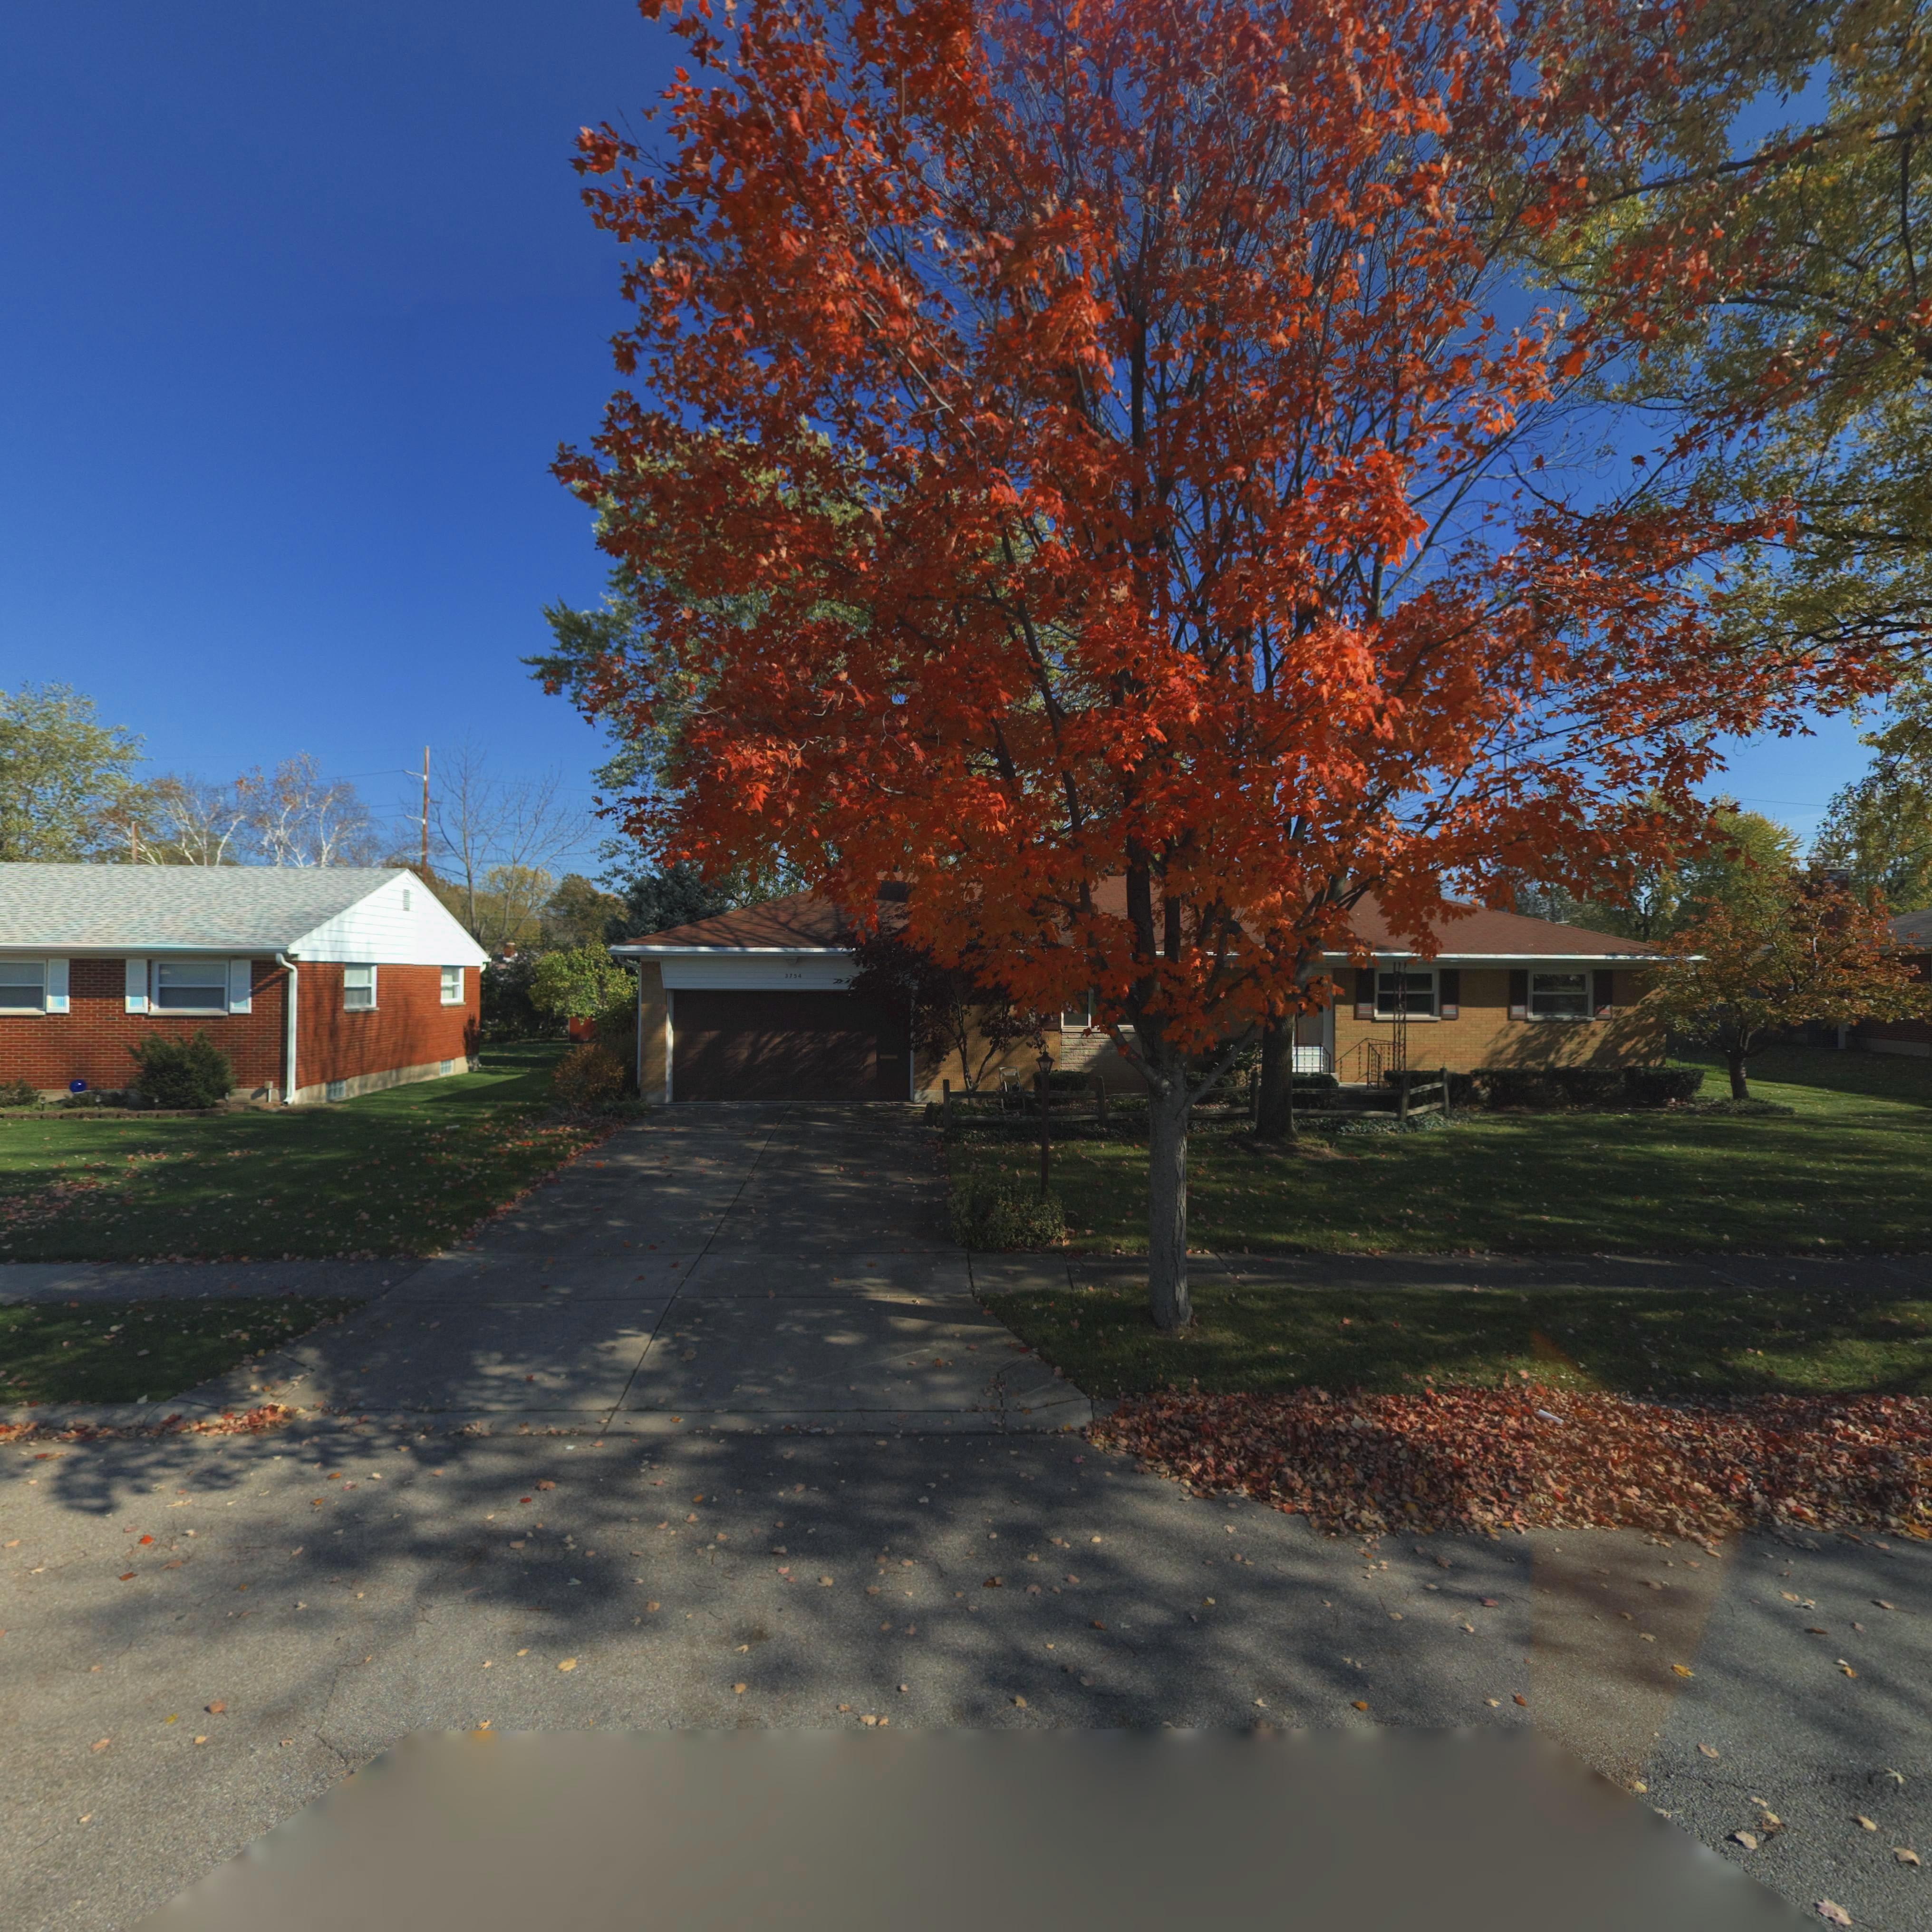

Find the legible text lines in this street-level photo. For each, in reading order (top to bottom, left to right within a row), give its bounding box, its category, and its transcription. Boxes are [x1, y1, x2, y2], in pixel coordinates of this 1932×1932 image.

[784, 973, 802, 979] StreetNumber: 3754